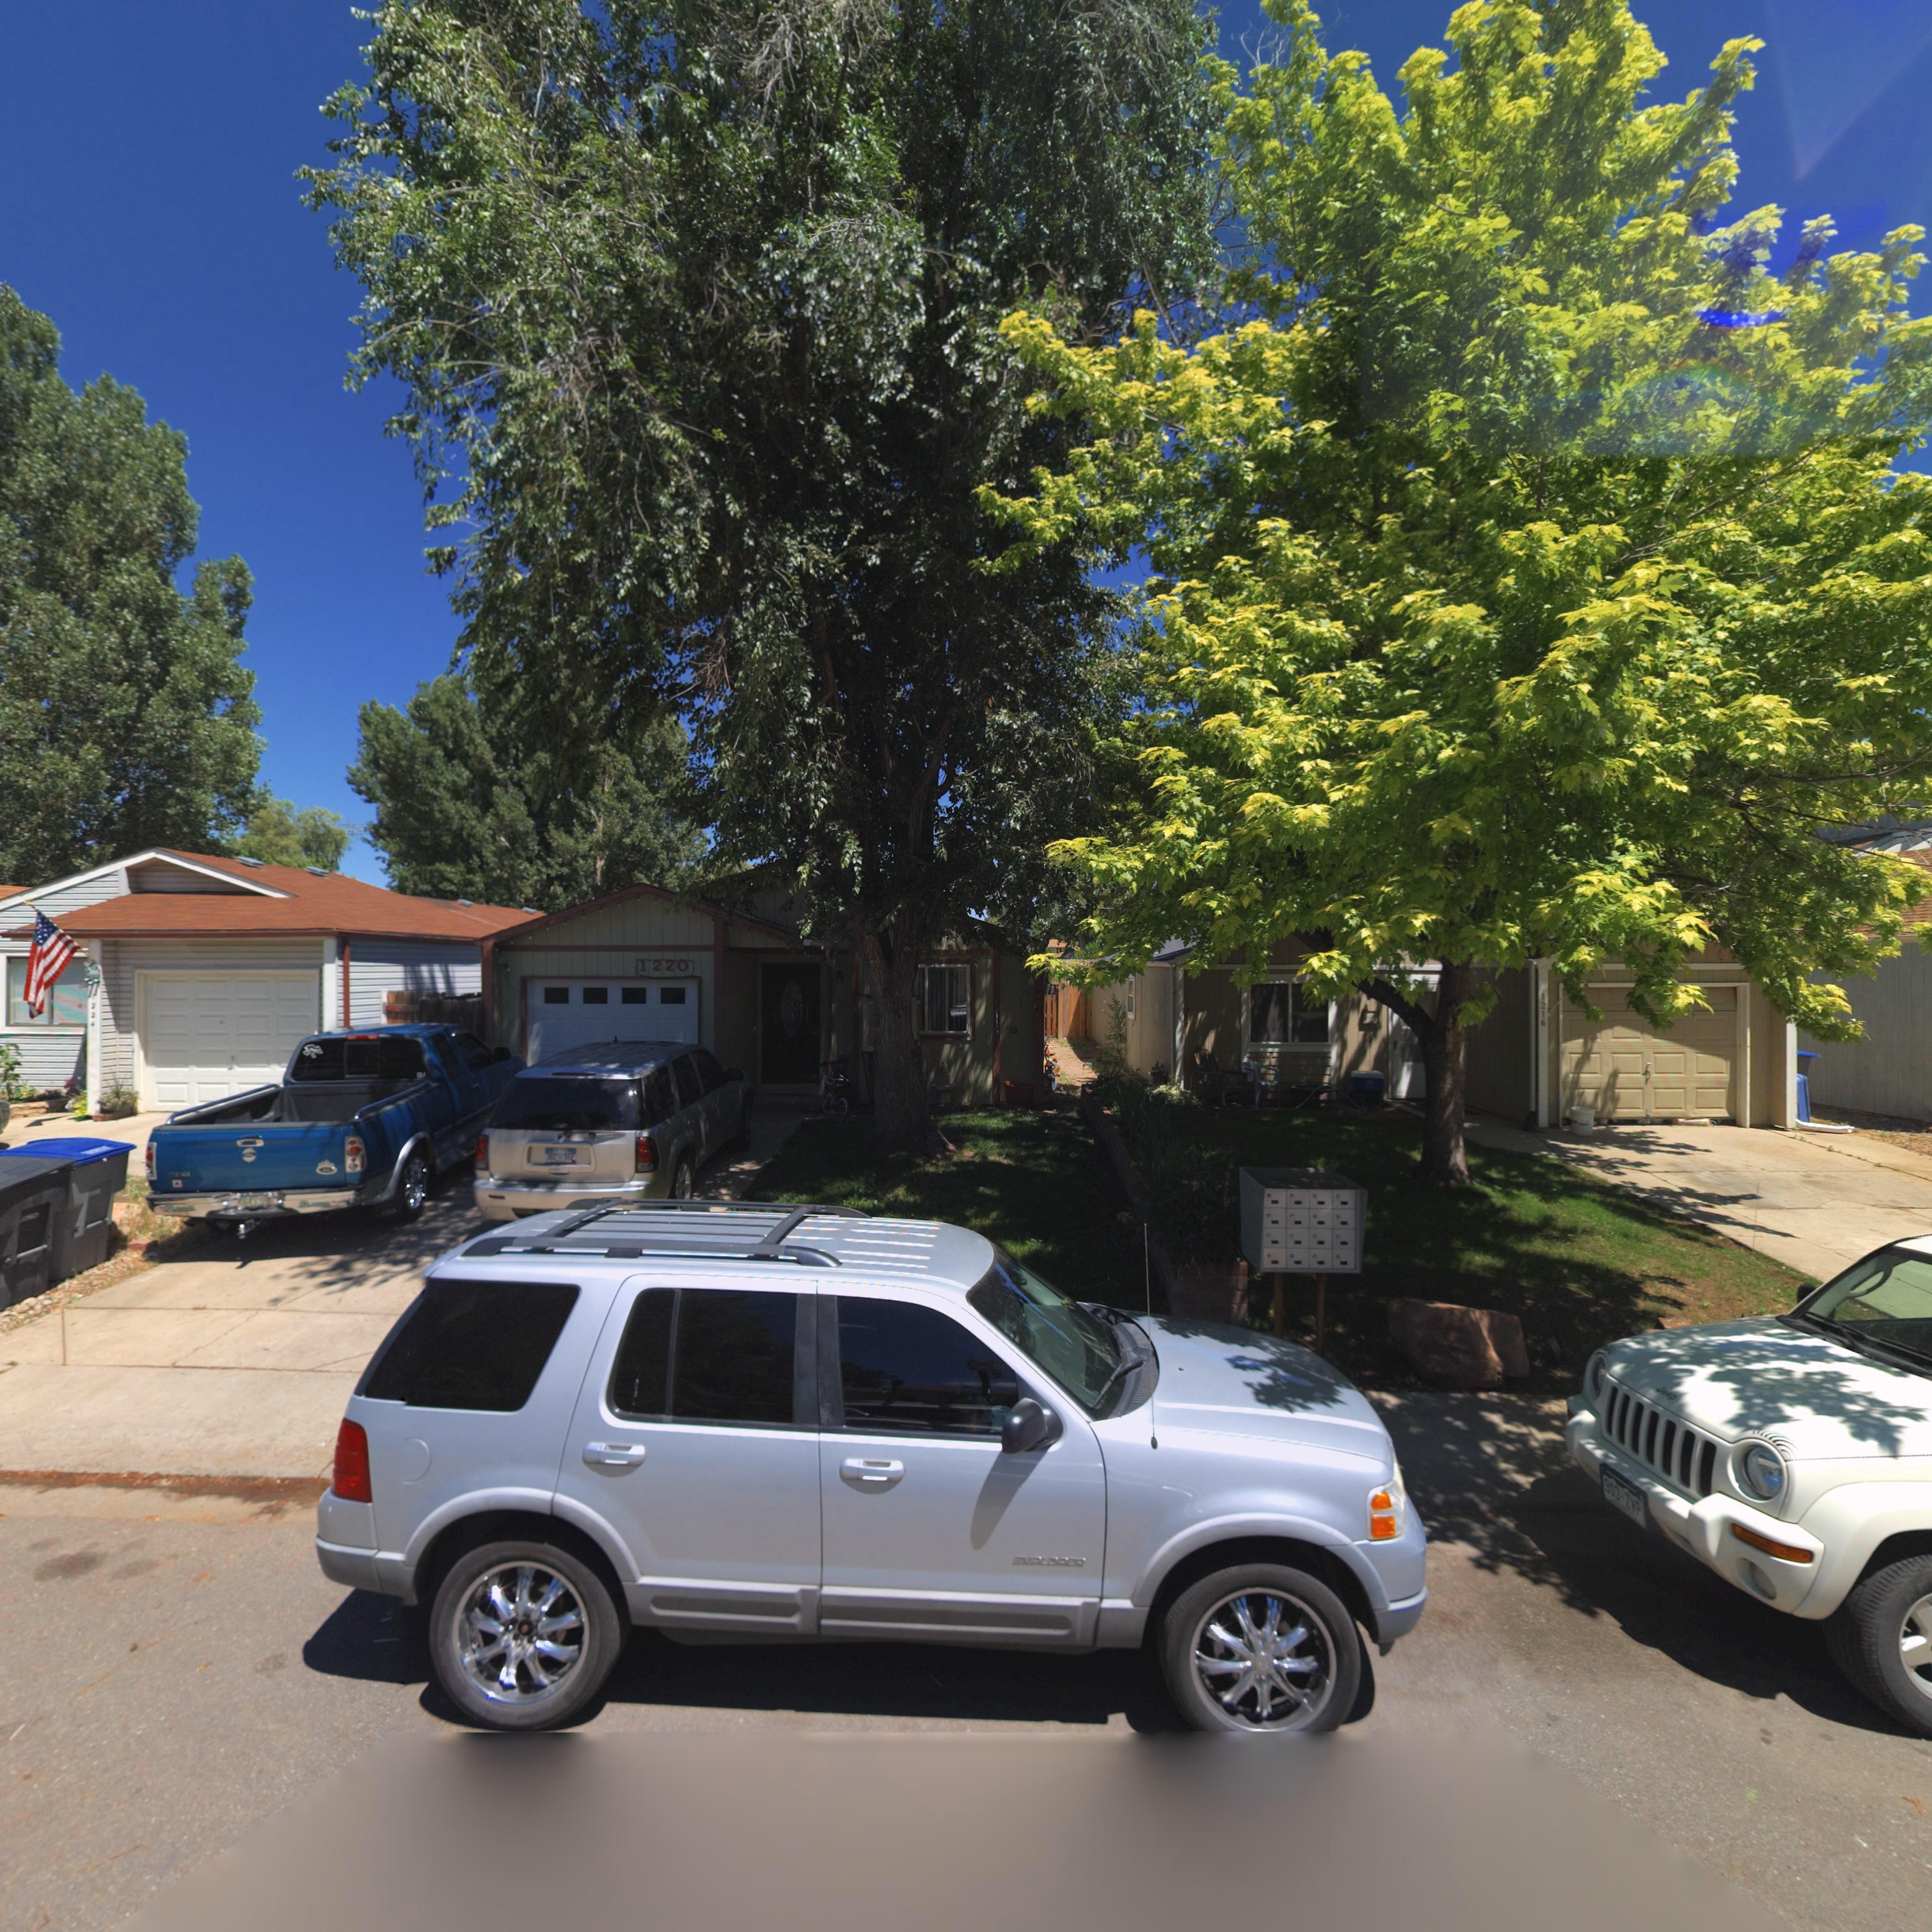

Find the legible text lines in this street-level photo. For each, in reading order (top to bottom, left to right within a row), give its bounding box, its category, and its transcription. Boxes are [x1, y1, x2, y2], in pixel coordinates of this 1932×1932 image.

[638, 958, 689, 973] StreetNumber: 1220
[90, 1002, 96, 1027] StreetNumber: 224
[1540, 992, 1546, 1027] StreetNumber: 1216